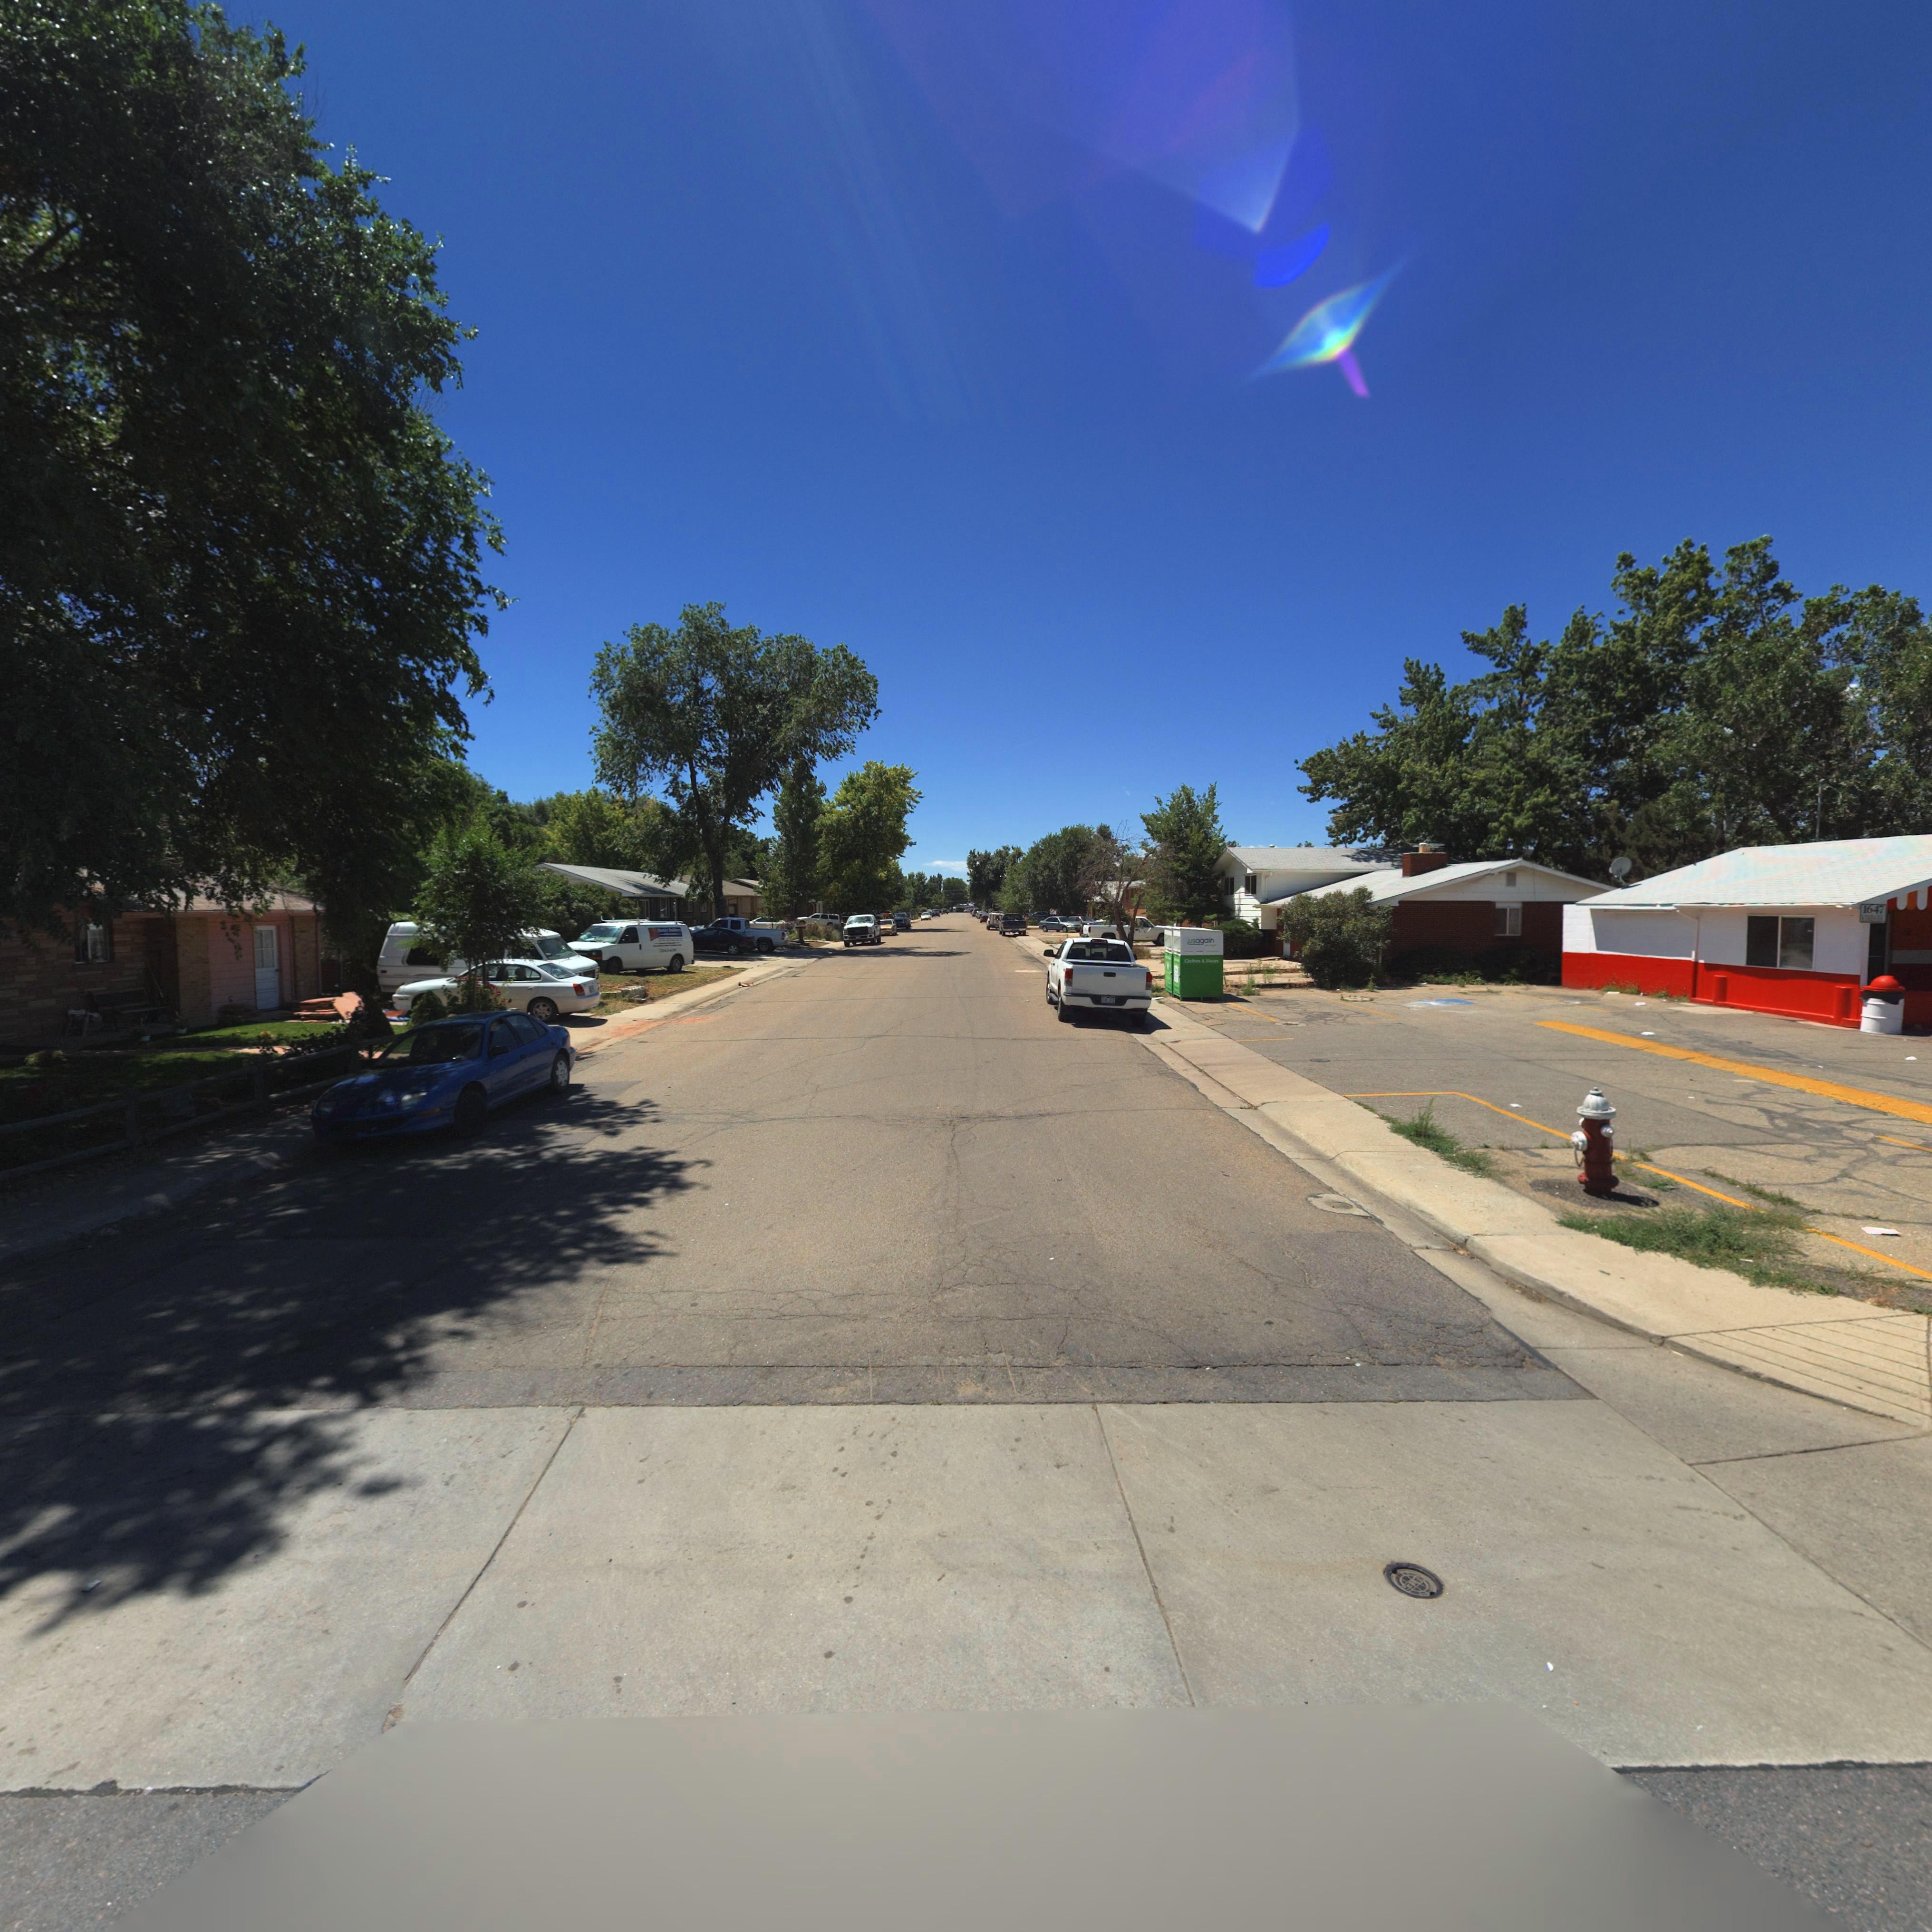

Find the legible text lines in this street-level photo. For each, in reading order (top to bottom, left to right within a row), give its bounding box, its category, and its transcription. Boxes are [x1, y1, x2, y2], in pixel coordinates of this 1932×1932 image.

[1863, 904, 1885, 914] StreetNumber: 1647
[1861, 914, 1885, 921] StreetName: KIMBARK